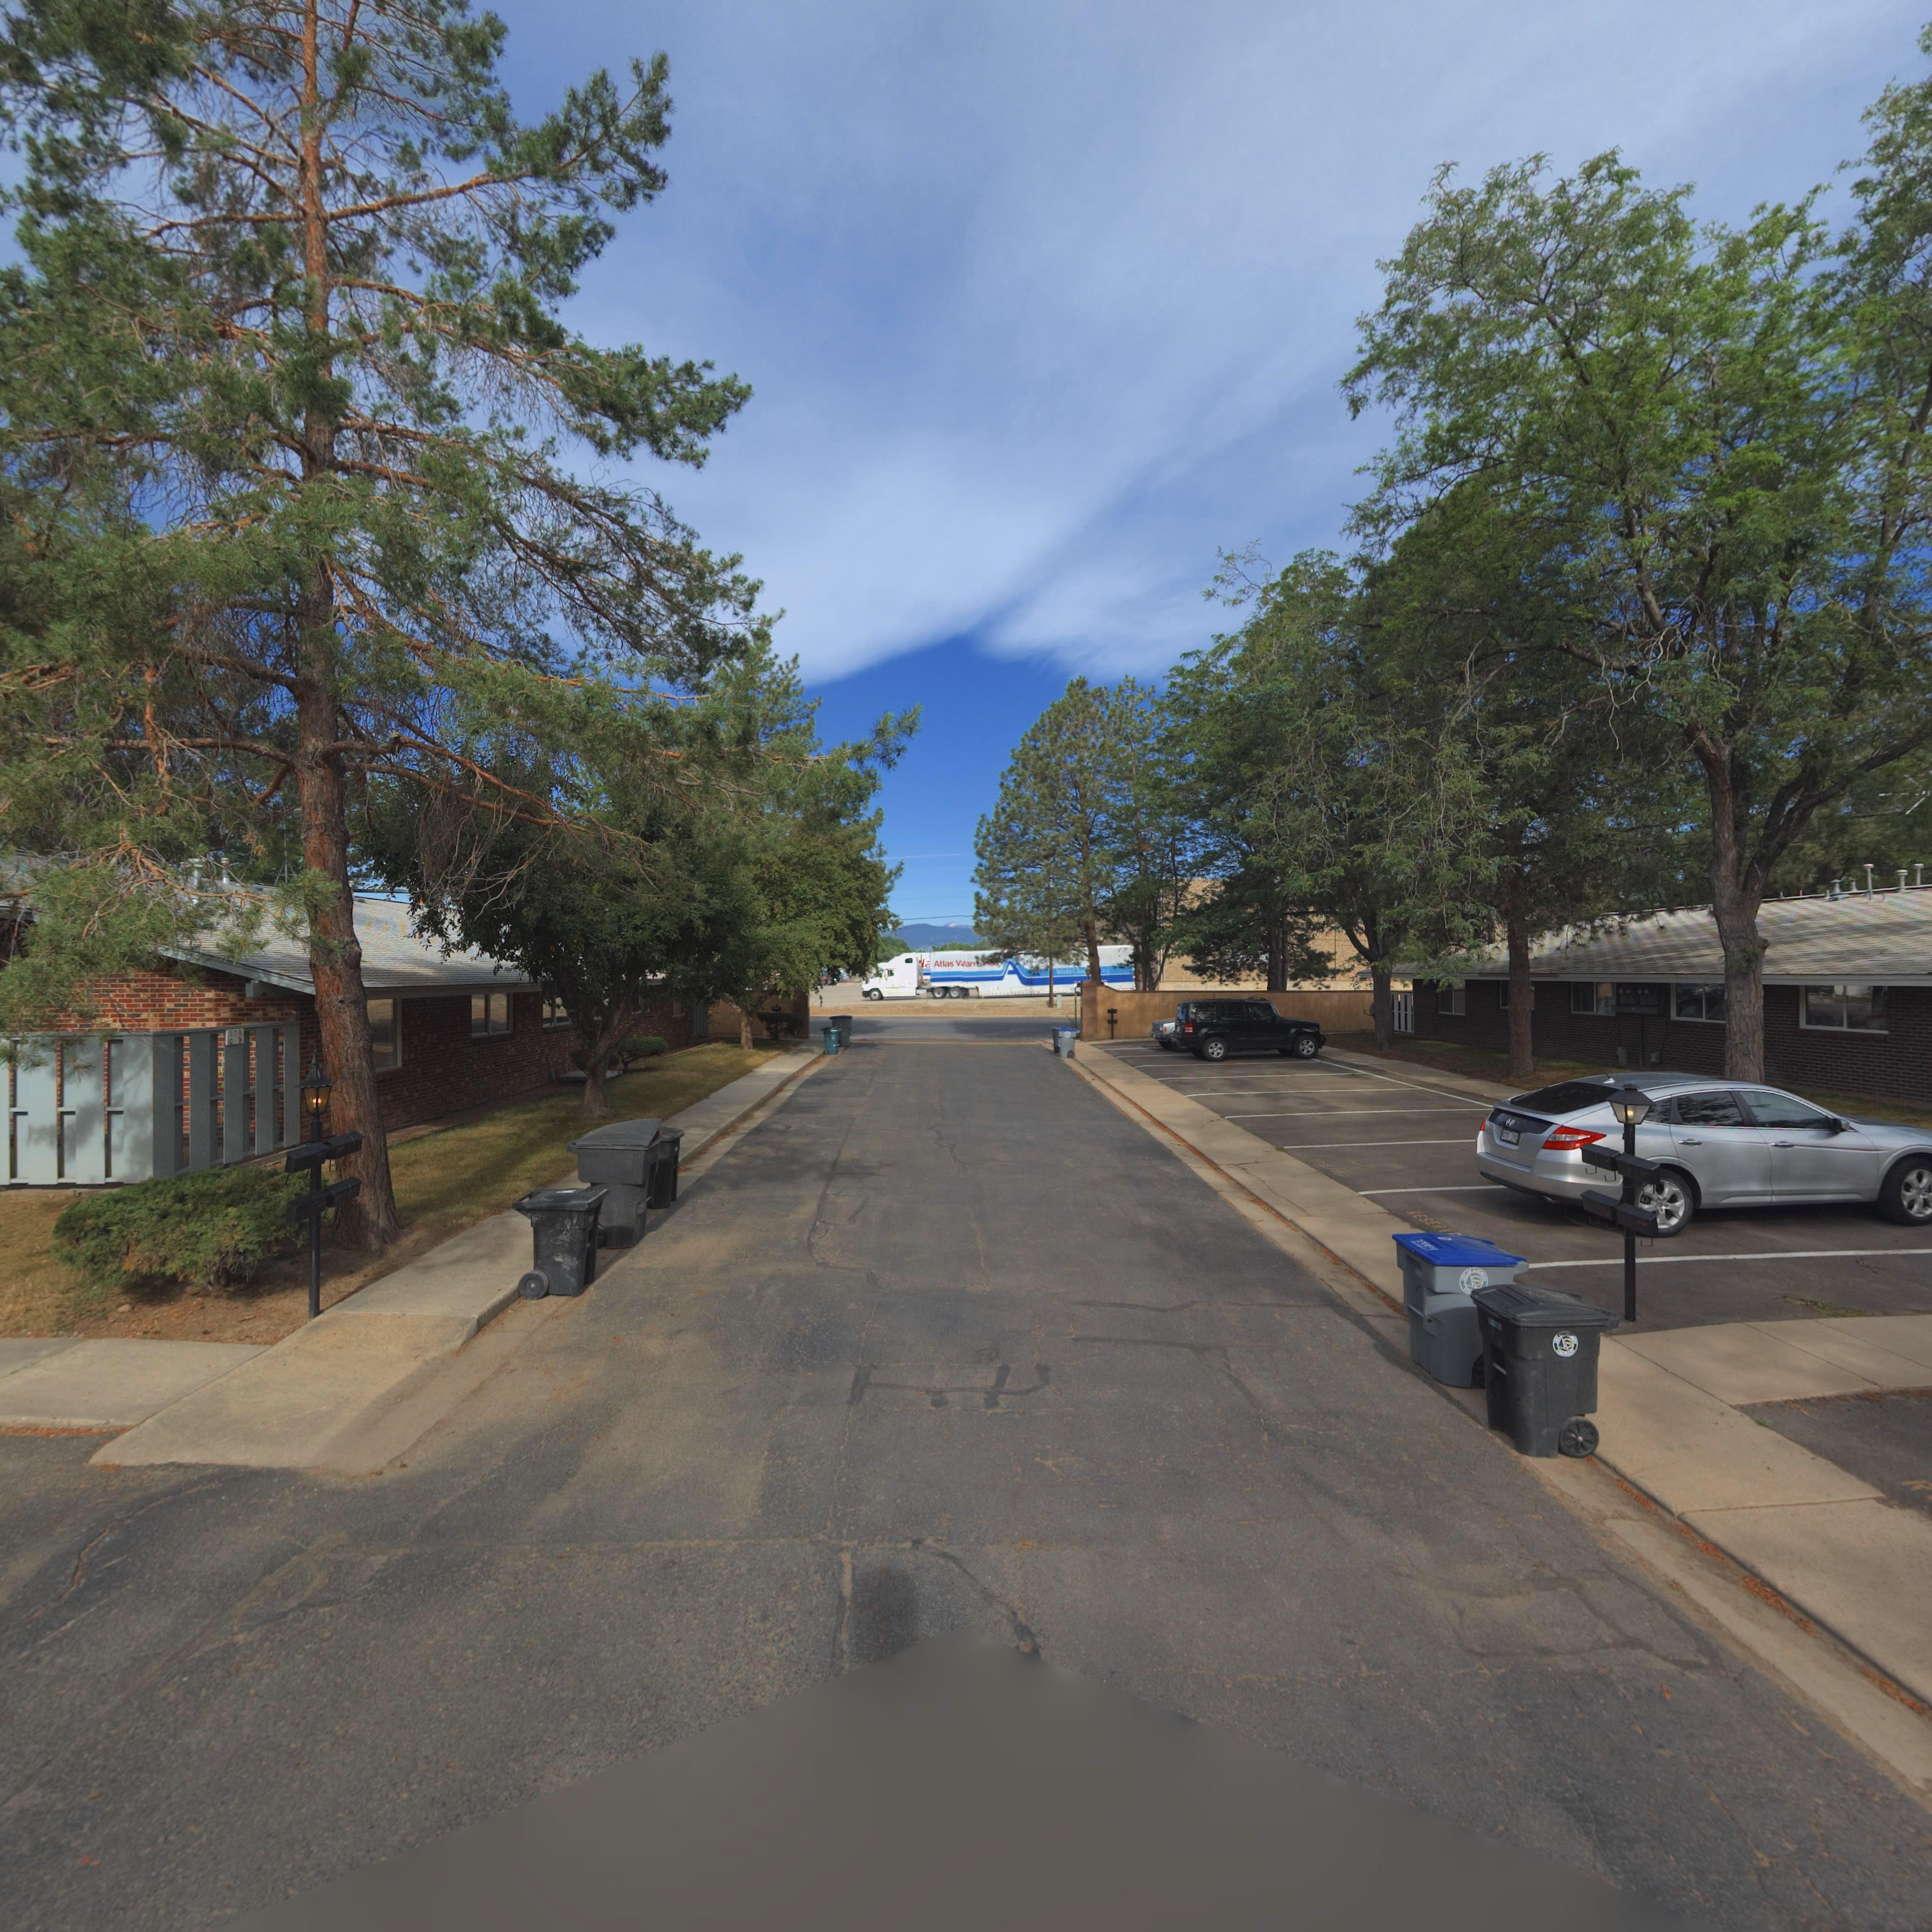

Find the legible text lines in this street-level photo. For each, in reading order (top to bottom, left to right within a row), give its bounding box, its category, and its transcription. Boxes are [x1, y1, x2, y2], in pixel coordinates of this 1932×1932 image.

[230, 1030, 241, 1037] StreetNumber: 170